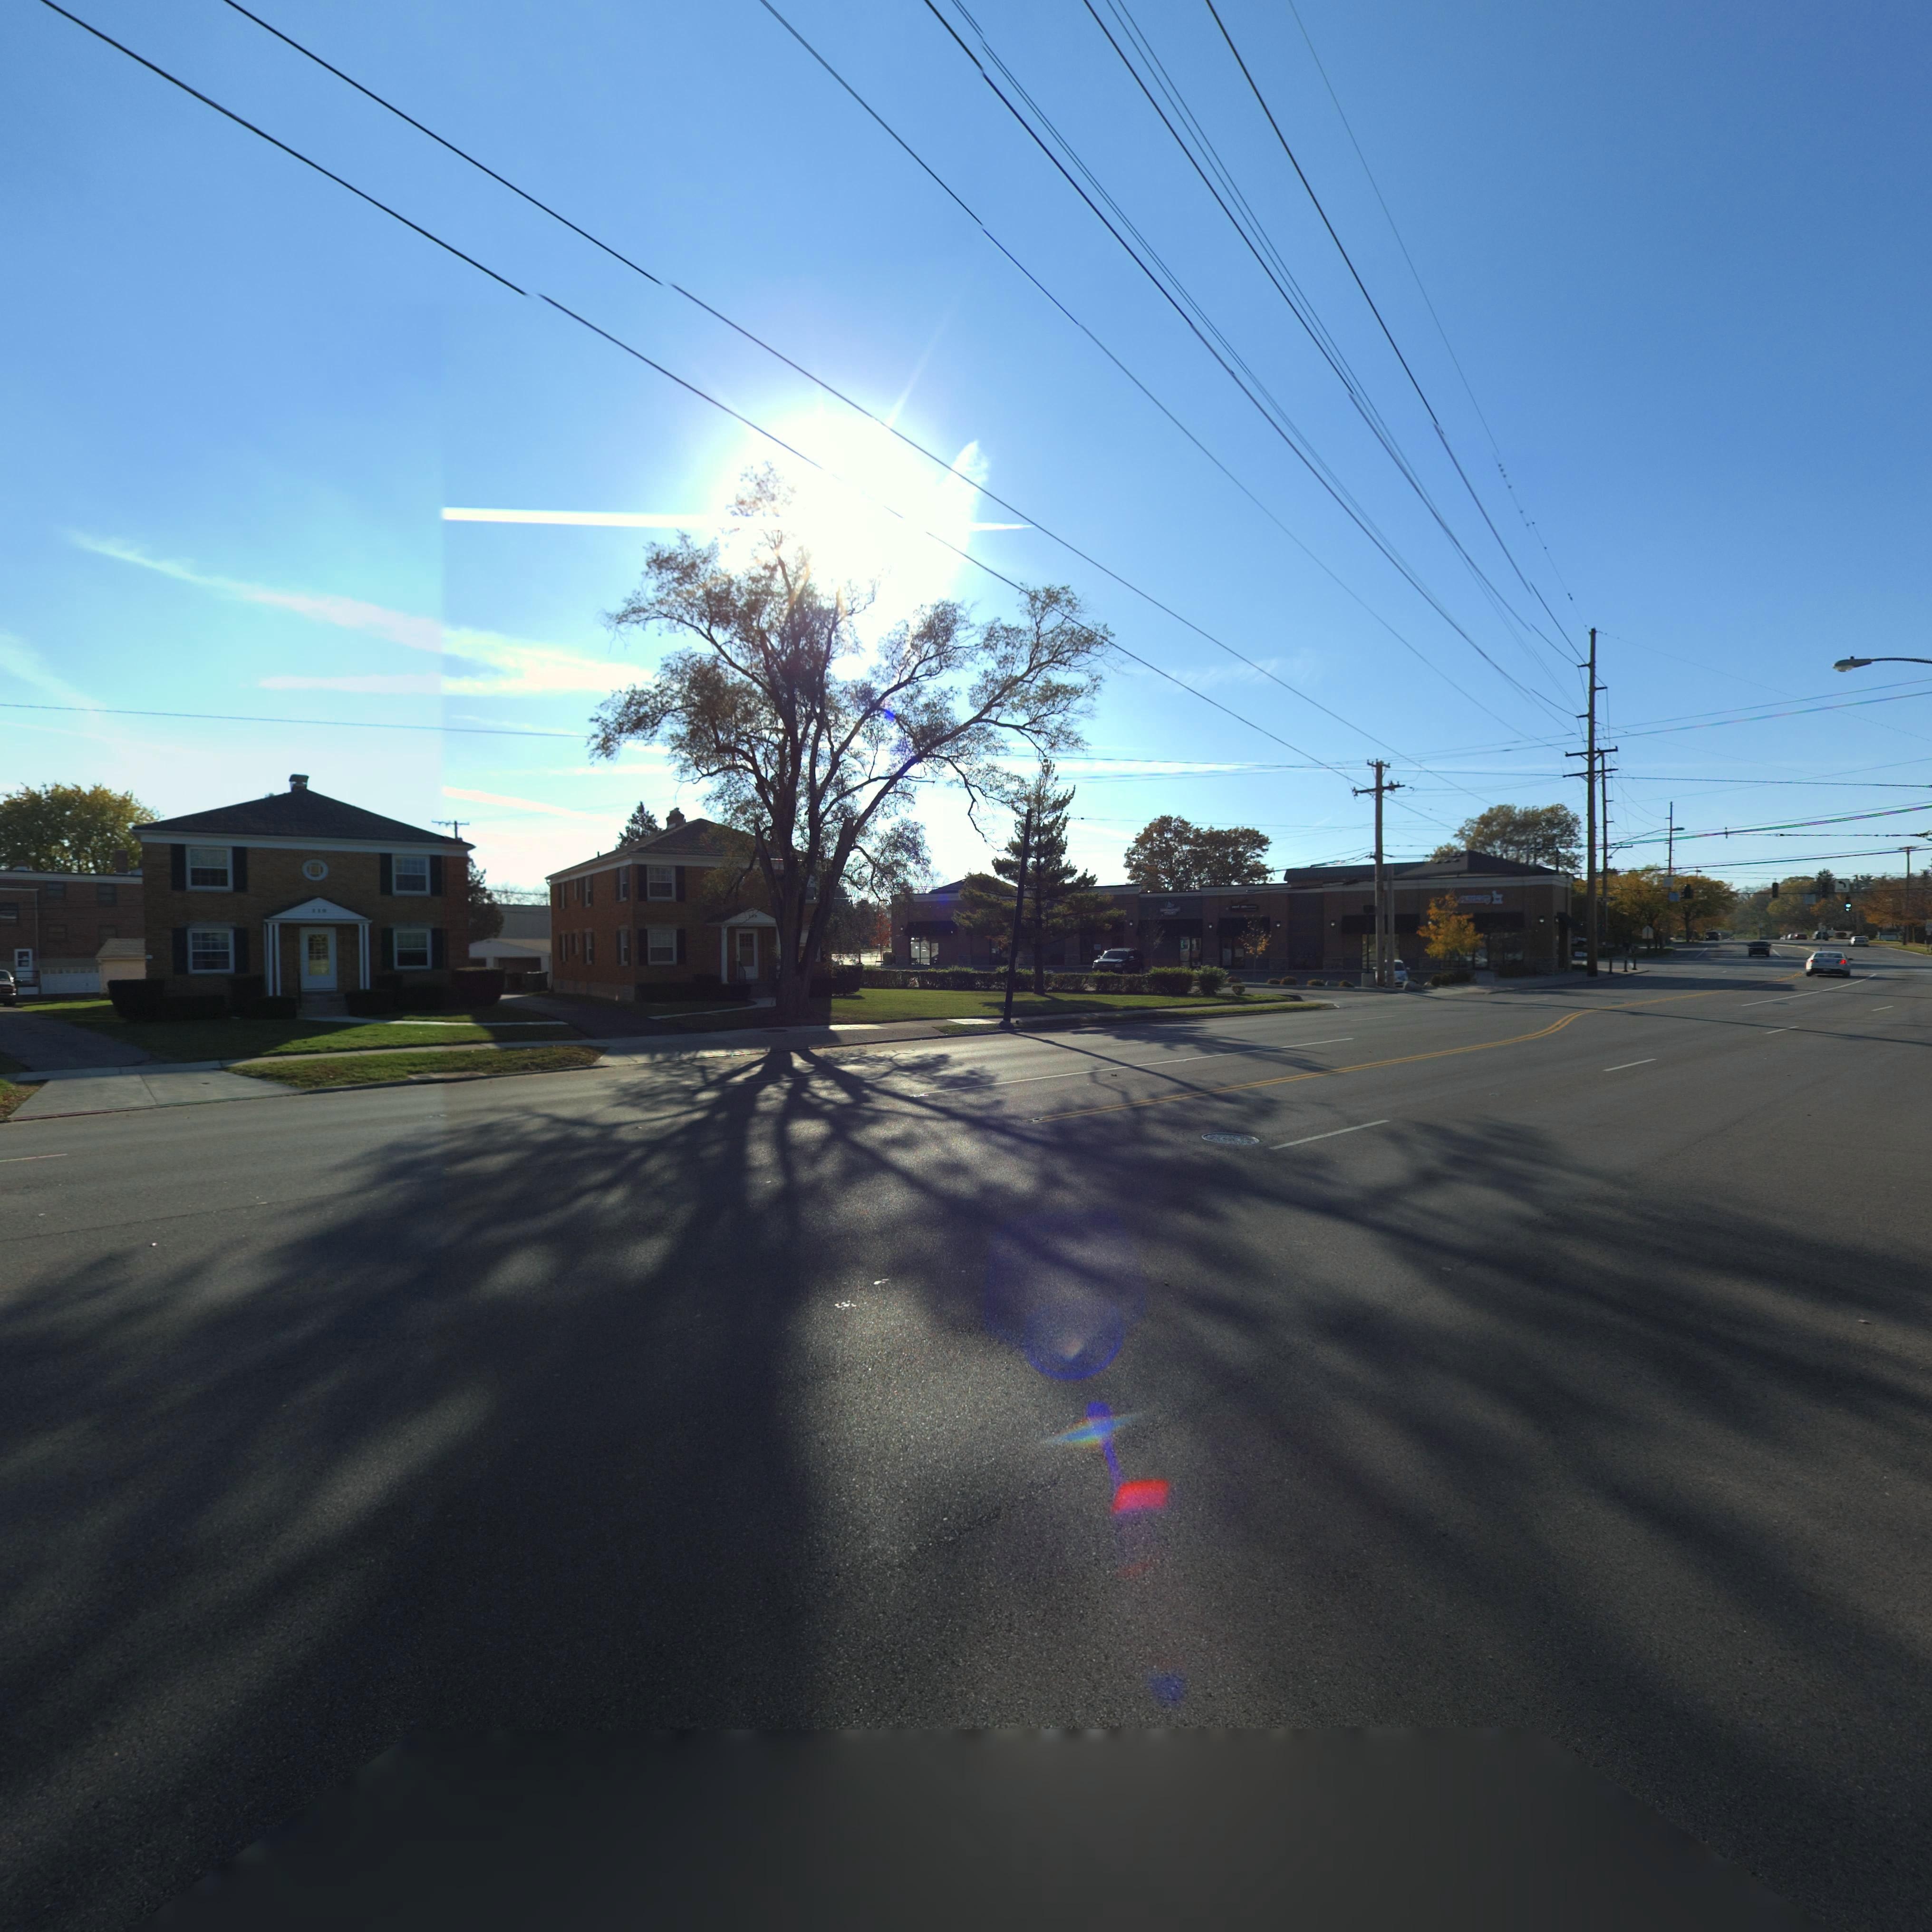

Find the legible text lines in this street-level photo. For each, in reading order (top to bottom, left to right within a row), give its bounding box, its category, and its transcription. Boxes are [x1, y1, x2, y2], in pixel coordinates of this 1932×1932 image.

[311, 907, 328, 914] StreetNumber: **0